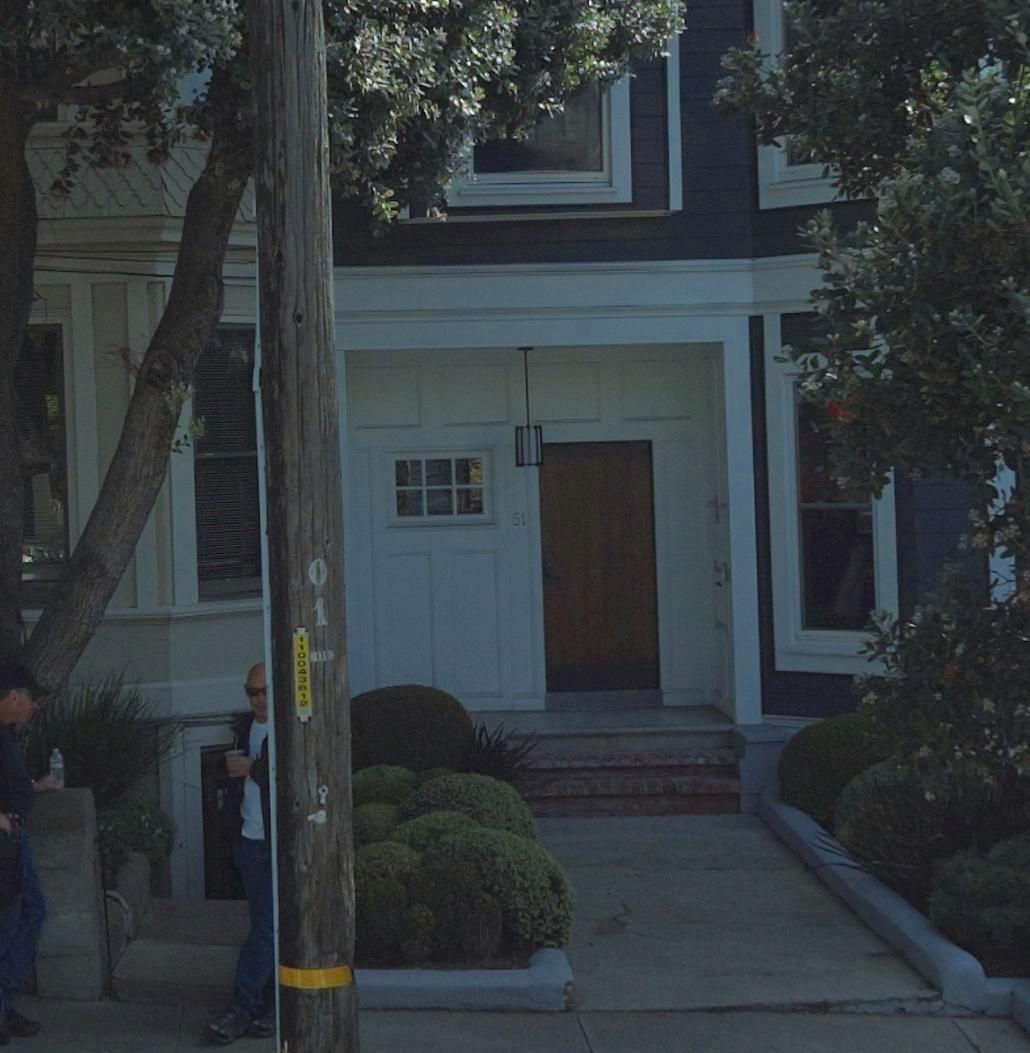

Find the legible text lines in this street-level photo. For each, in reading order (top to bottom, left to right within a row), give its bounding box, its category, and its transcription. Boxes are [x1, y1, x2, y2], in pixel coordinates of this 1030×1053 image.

[509, 511, 526, 527] StreetNumber: 61
[307, 557, 329, 628] None: 01
[296, 635, 308, 708] None: 110043610
[315, 651, 328, 660] None: *75